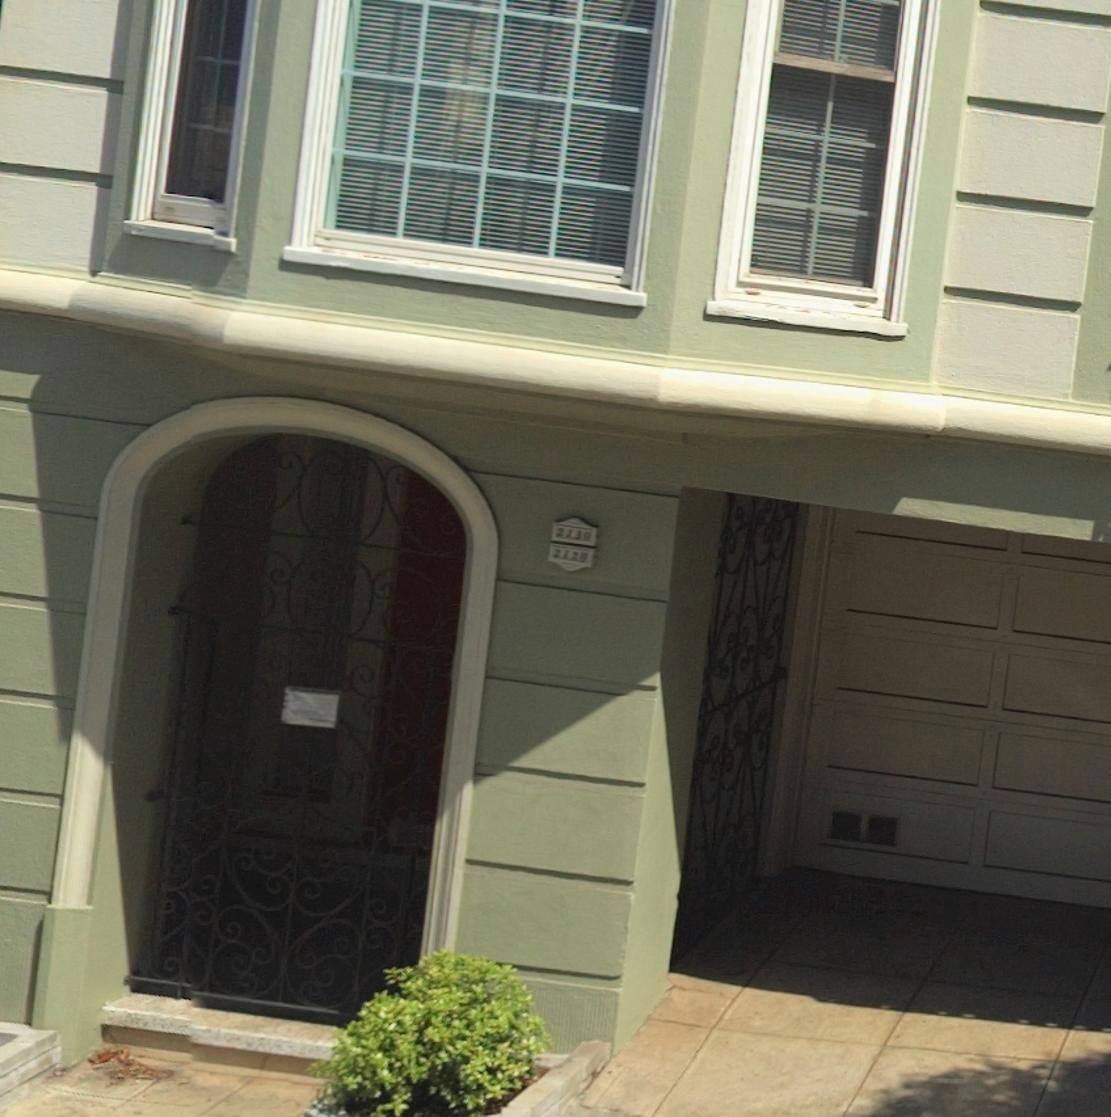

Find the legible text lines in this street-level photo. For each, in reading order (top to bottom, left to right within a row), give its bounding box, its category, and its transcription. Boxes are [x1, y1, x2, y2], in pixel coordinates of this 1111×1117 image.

[554, 525, 592, 542] StreetNumber: 2130
[551, 546, 590, 564] StreetNumber: 2128